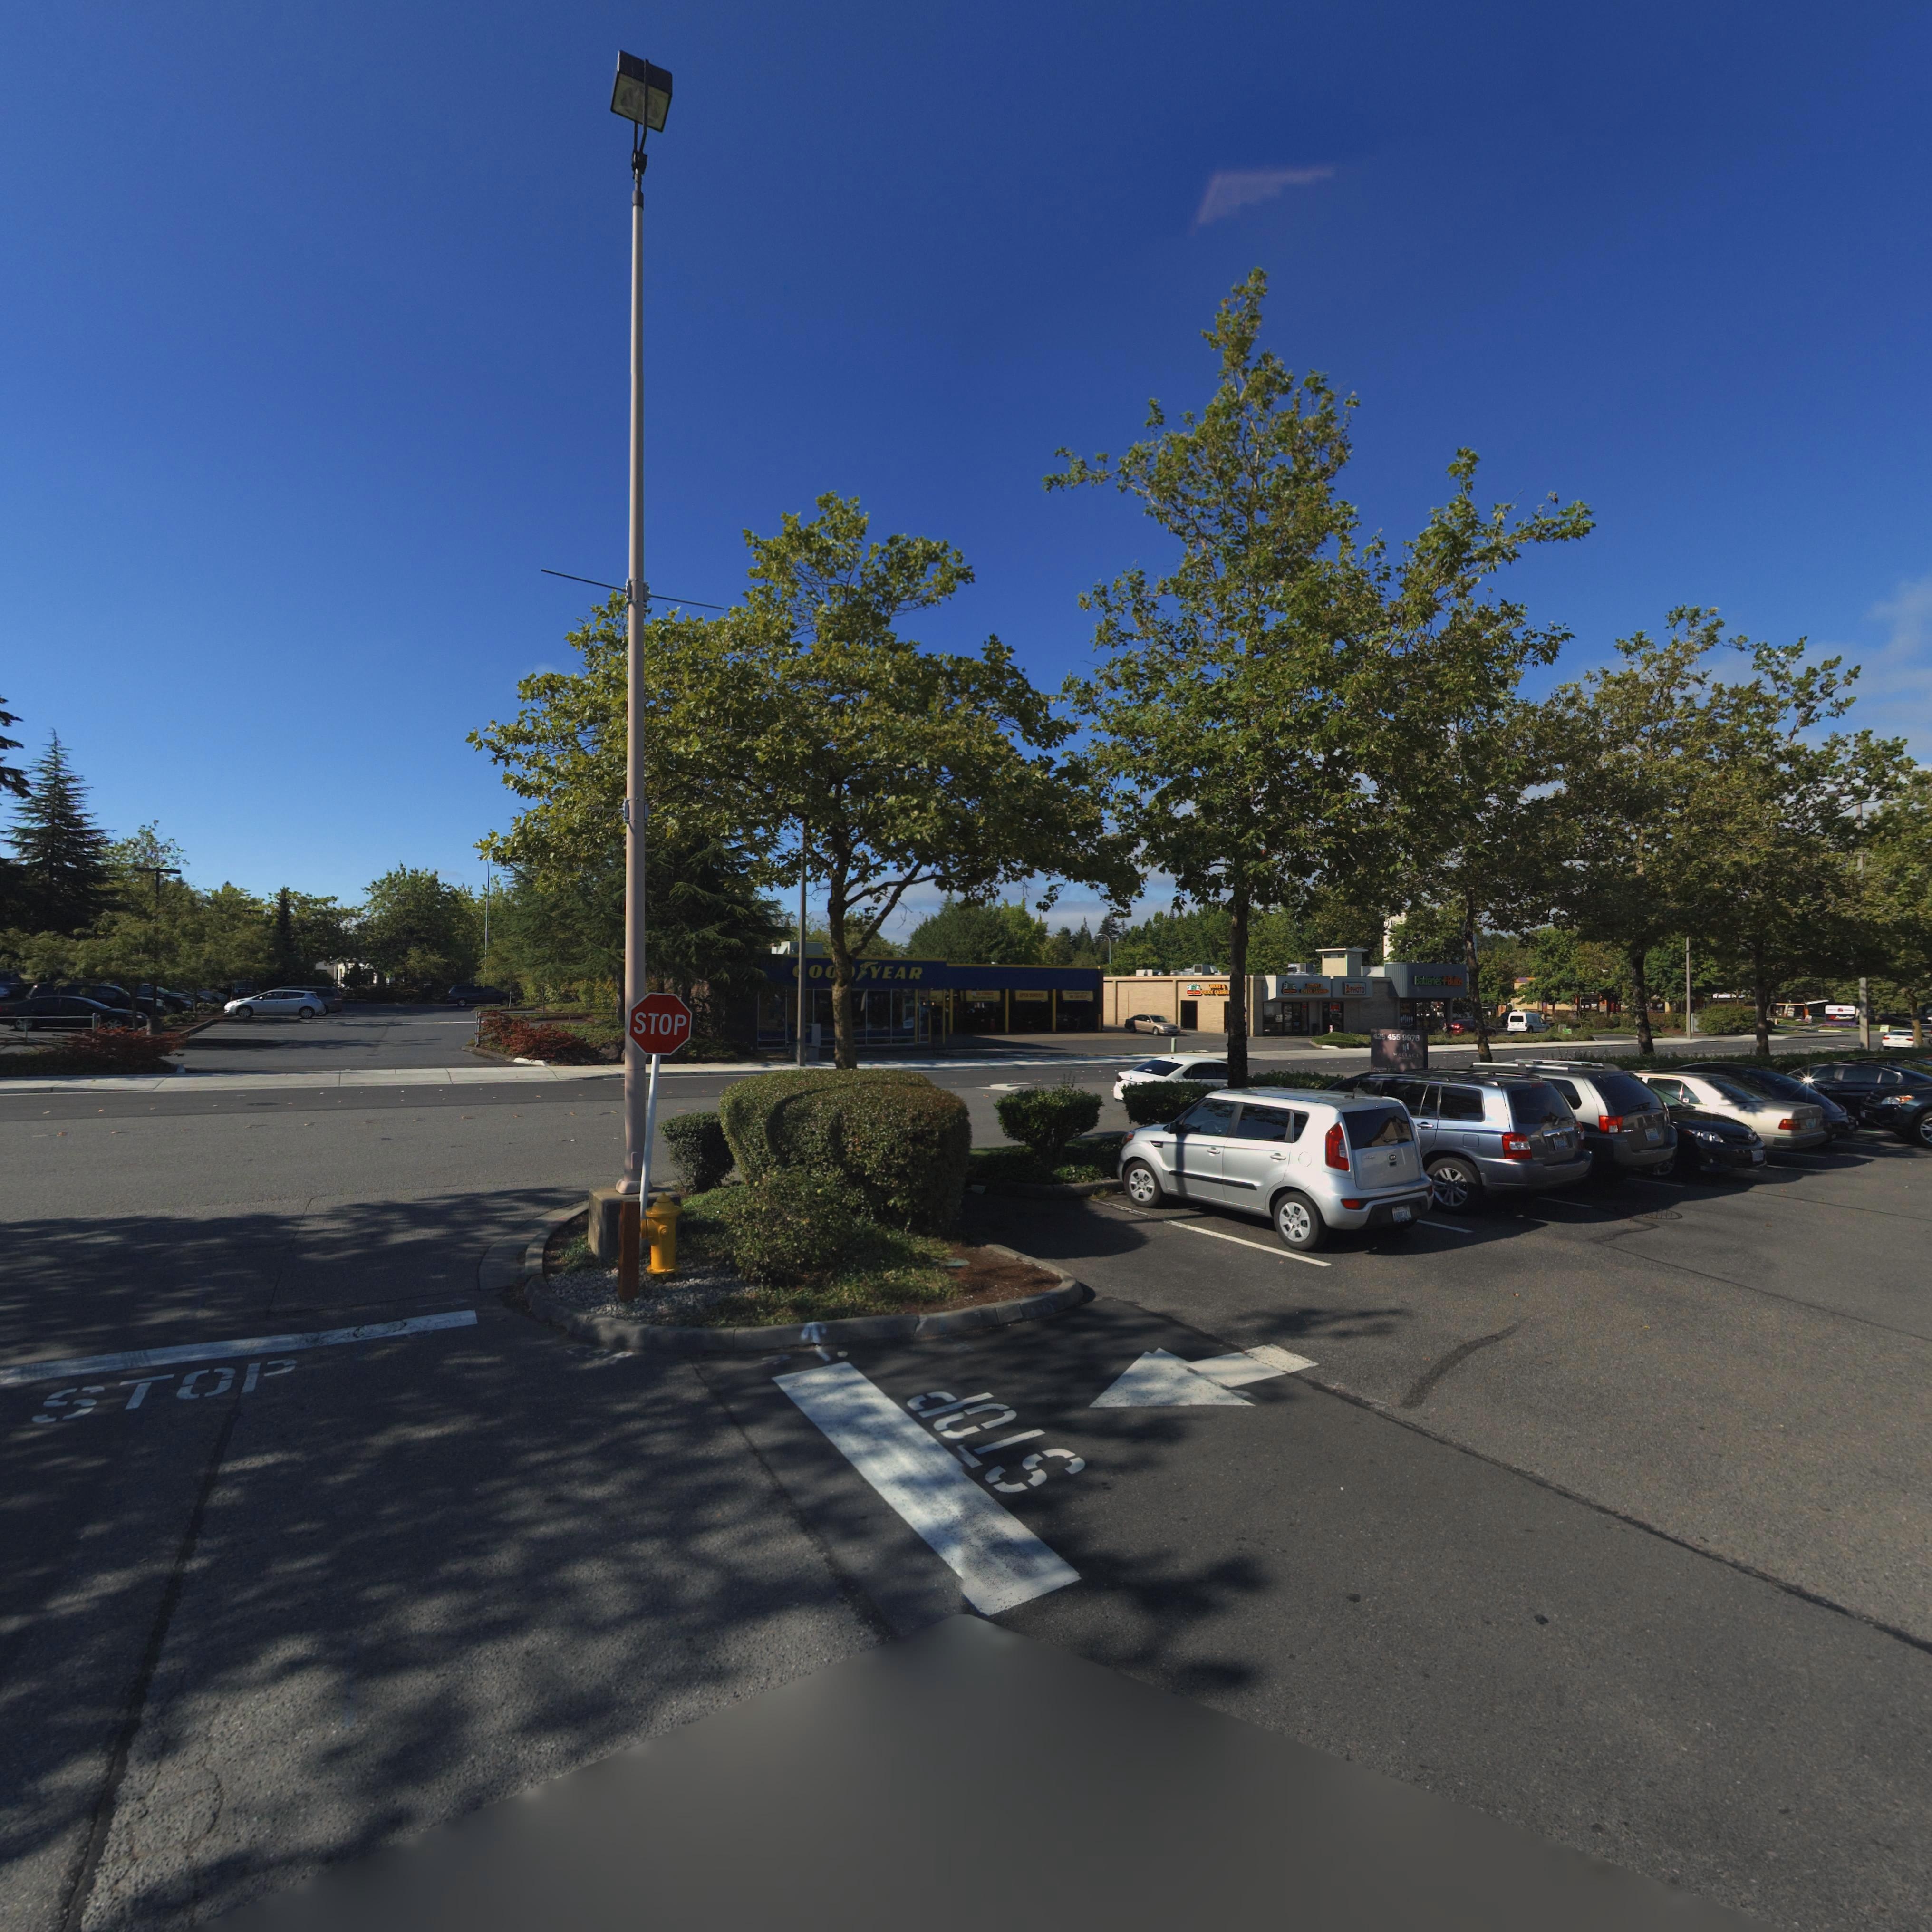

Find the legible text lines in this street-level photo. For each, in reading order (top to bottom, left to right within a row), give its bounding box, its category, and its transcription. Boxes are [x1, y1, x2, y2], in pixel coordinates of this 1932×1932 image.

[792, 966, 923, 979] BusinessName: *O***YEAR
[1414, 976, 1463, 985] BusinessName: Batteries*Bulbs
[1392, 1053, 1419, 1057] BusinessName: WAL*AC*